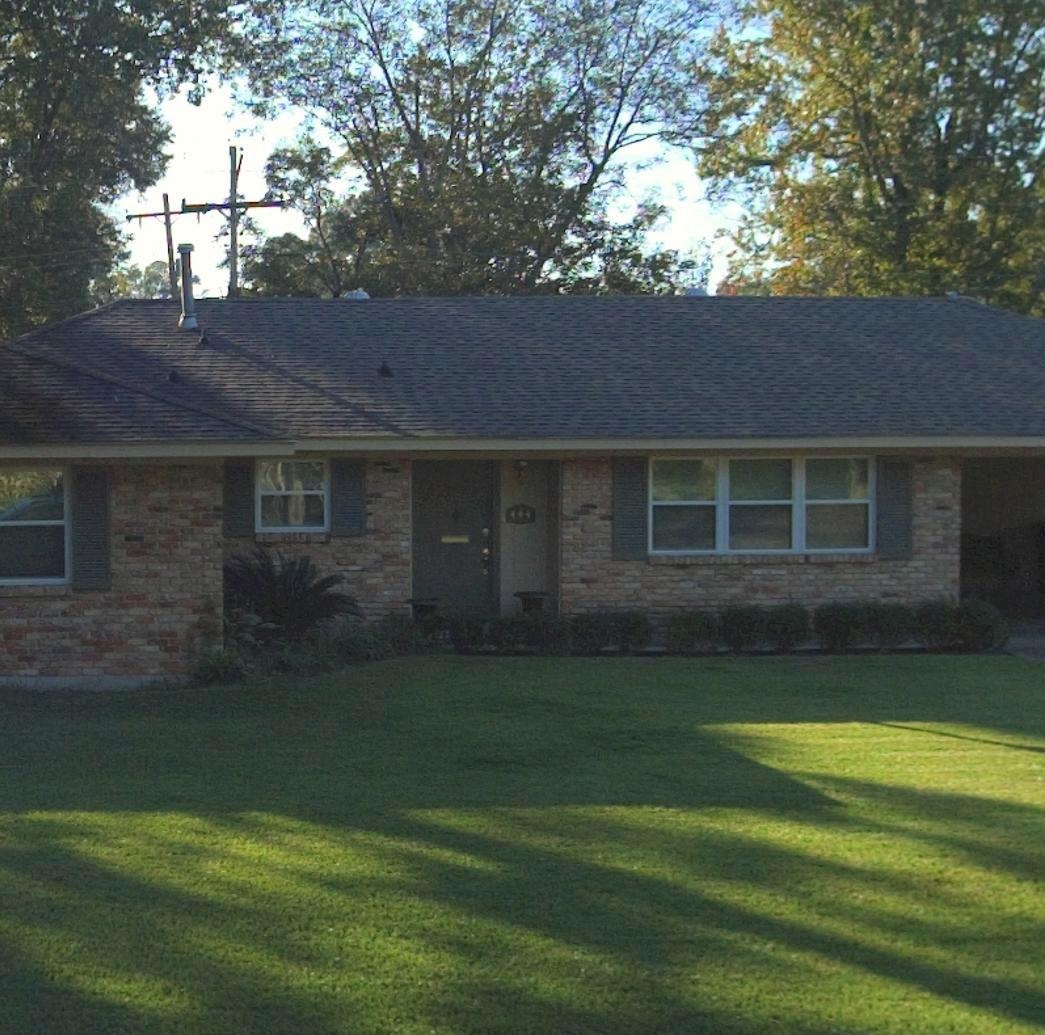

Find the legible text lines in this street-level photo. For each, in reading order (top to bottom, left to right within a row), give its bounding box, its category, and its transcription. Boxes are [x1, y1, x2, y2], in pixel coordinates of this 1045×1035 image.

[509, 509, 532, 519] StreetNumber: 444